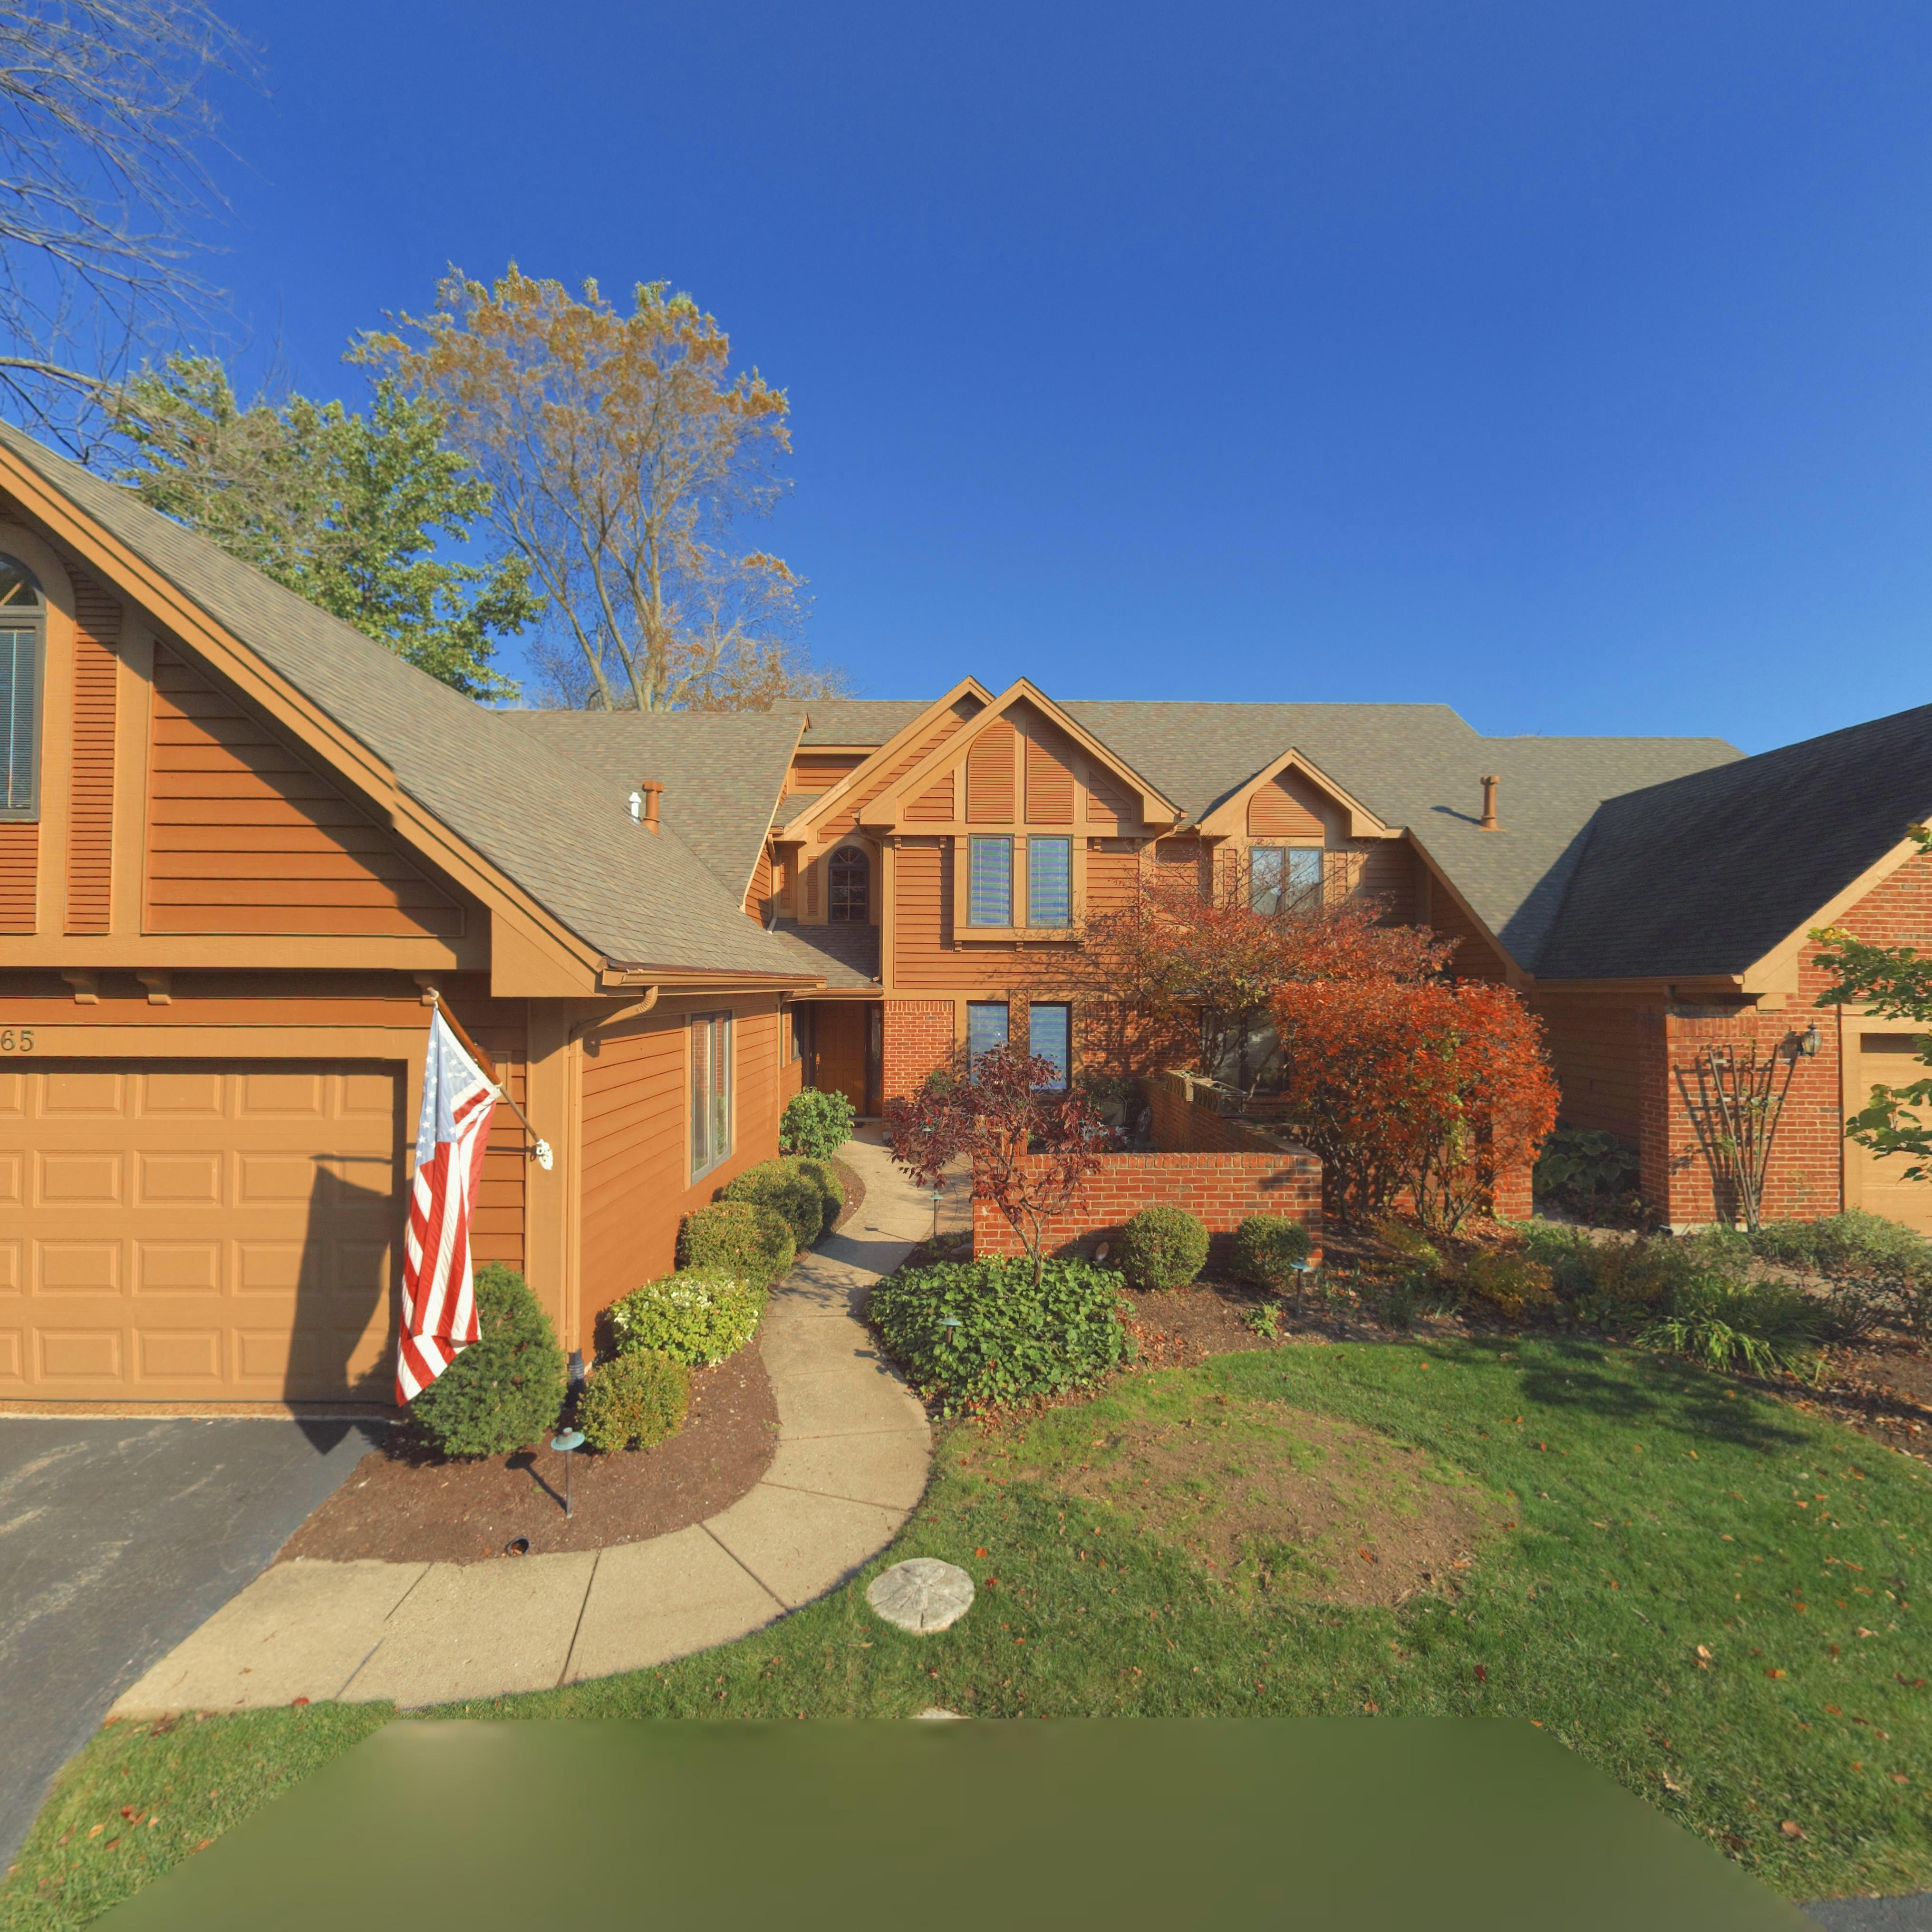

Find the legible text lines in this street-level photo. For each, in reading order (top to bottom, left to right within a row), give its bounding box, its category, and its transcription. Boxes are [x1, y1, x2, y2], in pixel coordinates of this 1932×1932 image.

[0, 1028, 37, 1053] StreetNumber: 65